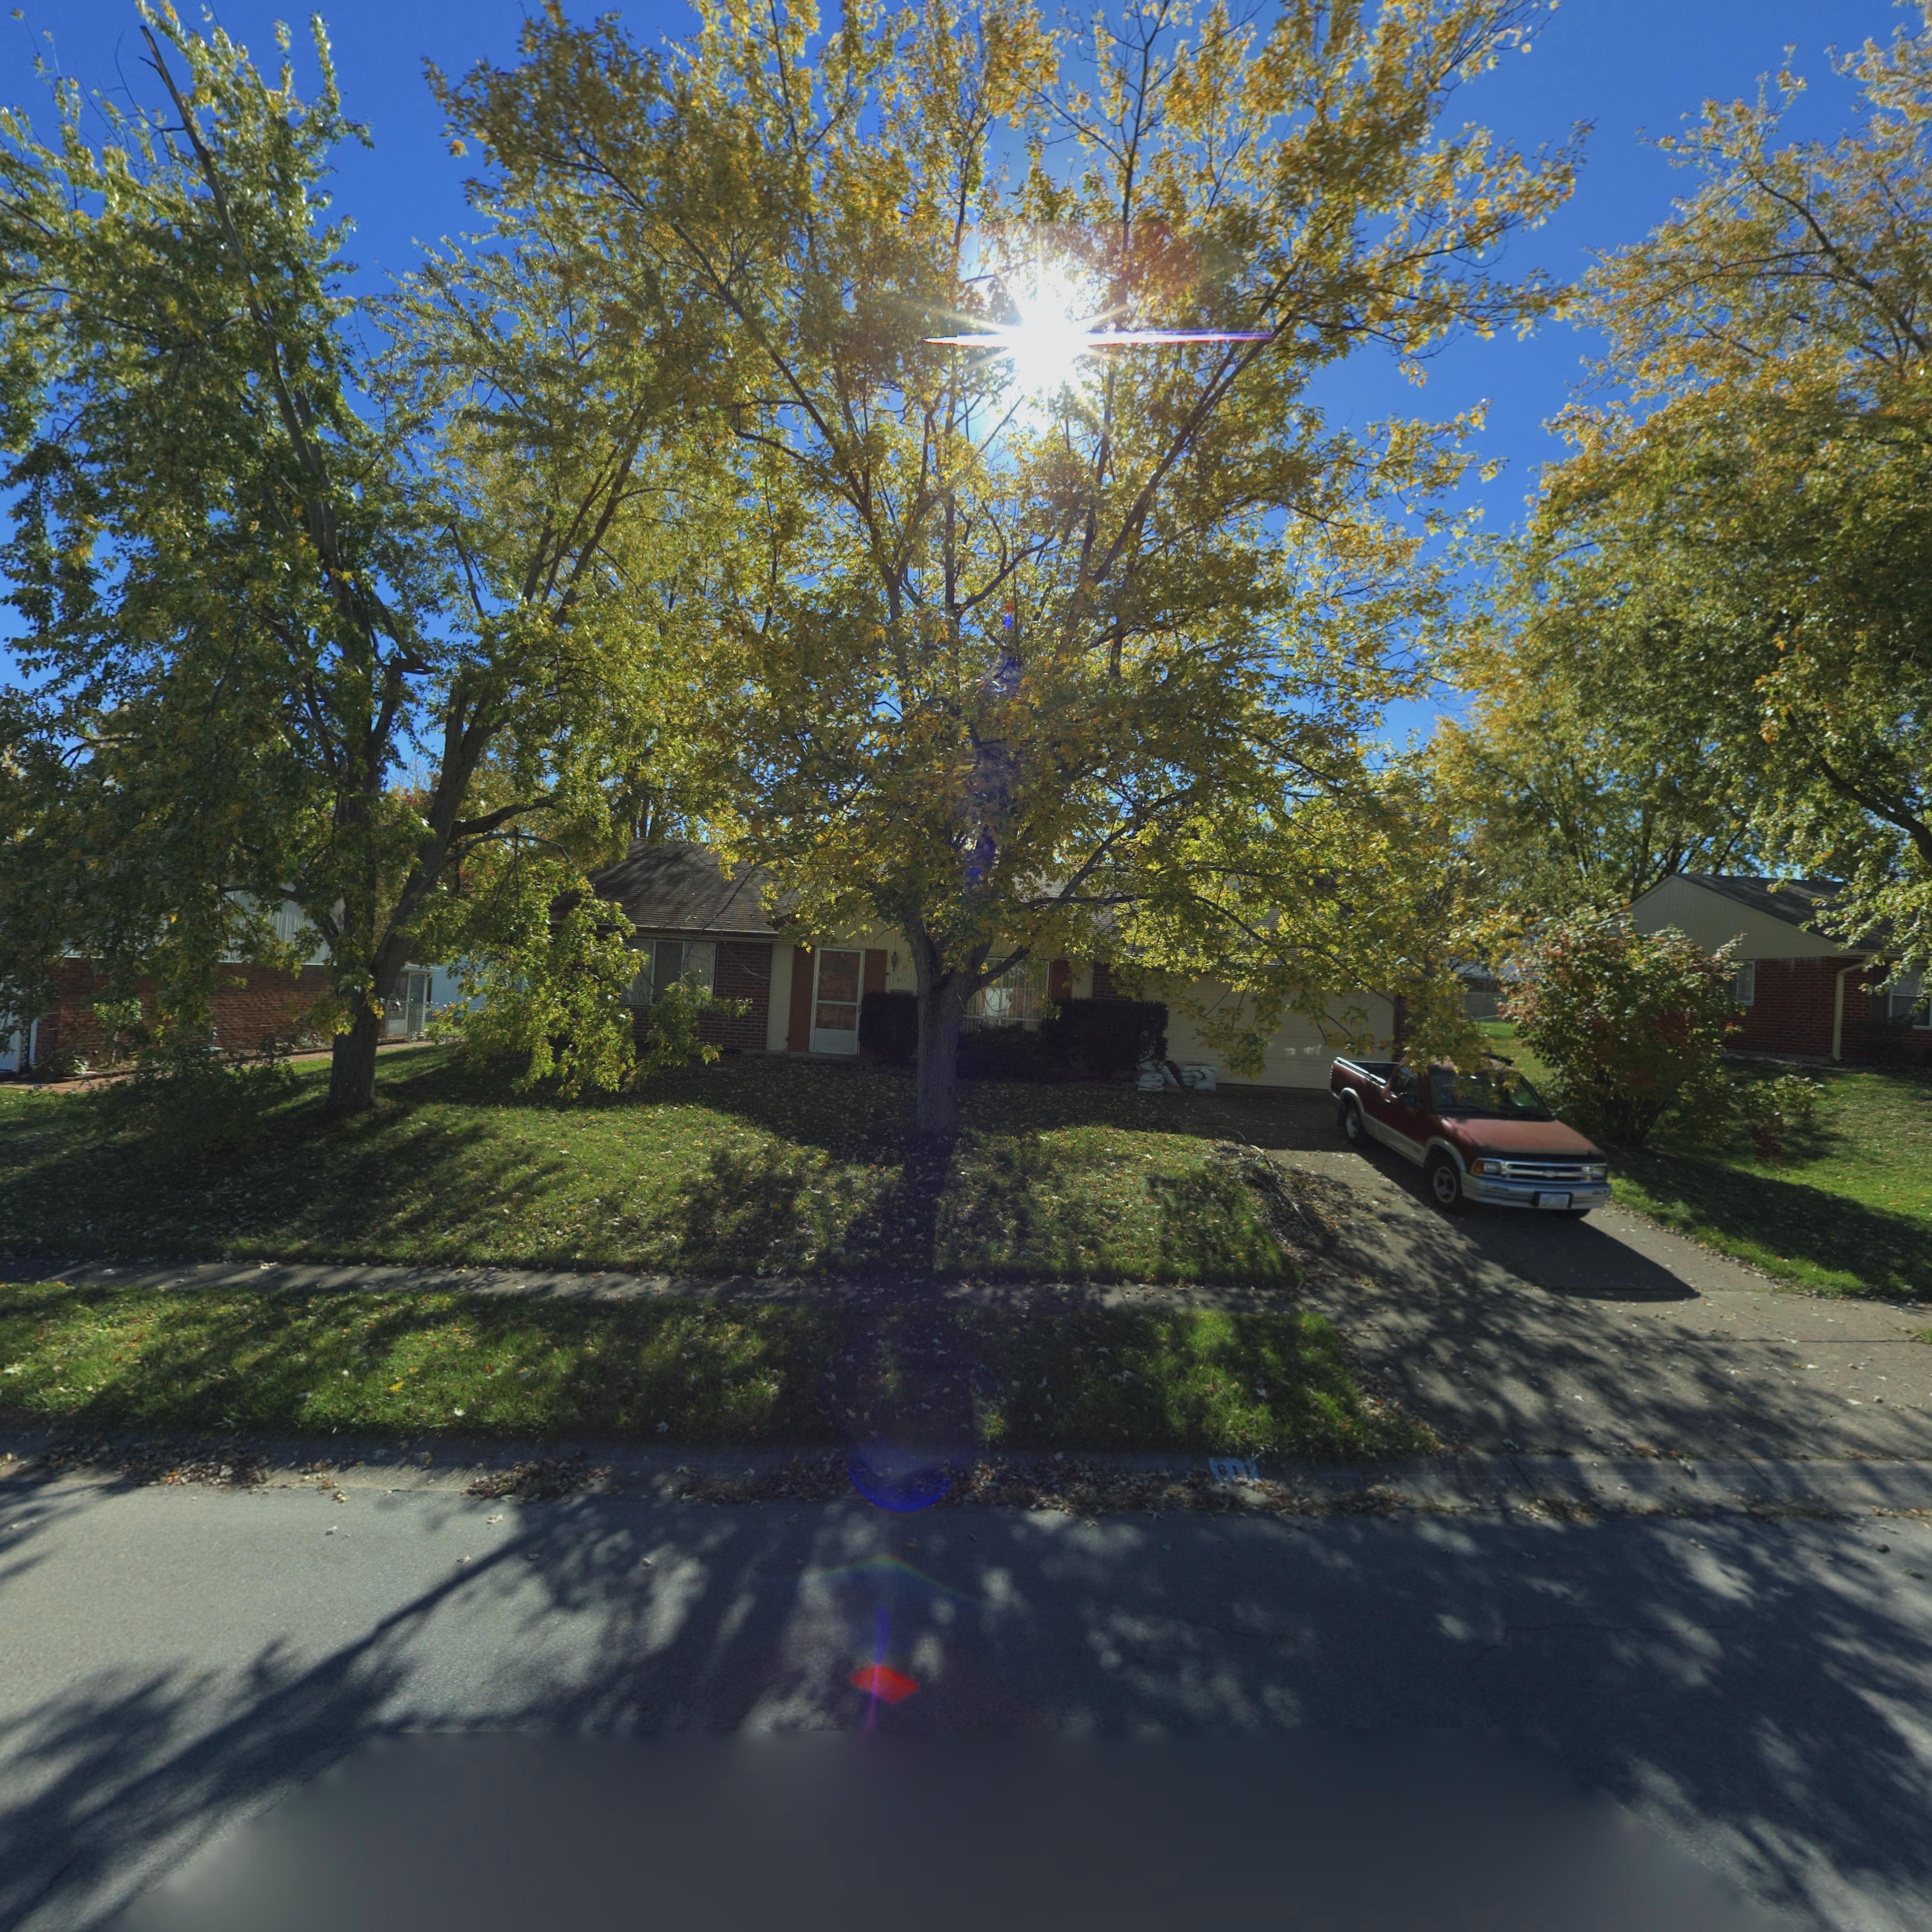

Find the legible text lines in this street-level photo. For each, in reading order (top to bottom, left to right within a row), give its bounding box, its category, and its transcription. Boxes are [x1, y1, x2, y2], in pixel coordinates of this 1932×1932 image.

[897, 977, 906, 983] StreetNumber: 811
[1216, 1464, 1253, 1476] StreetNumber: 811